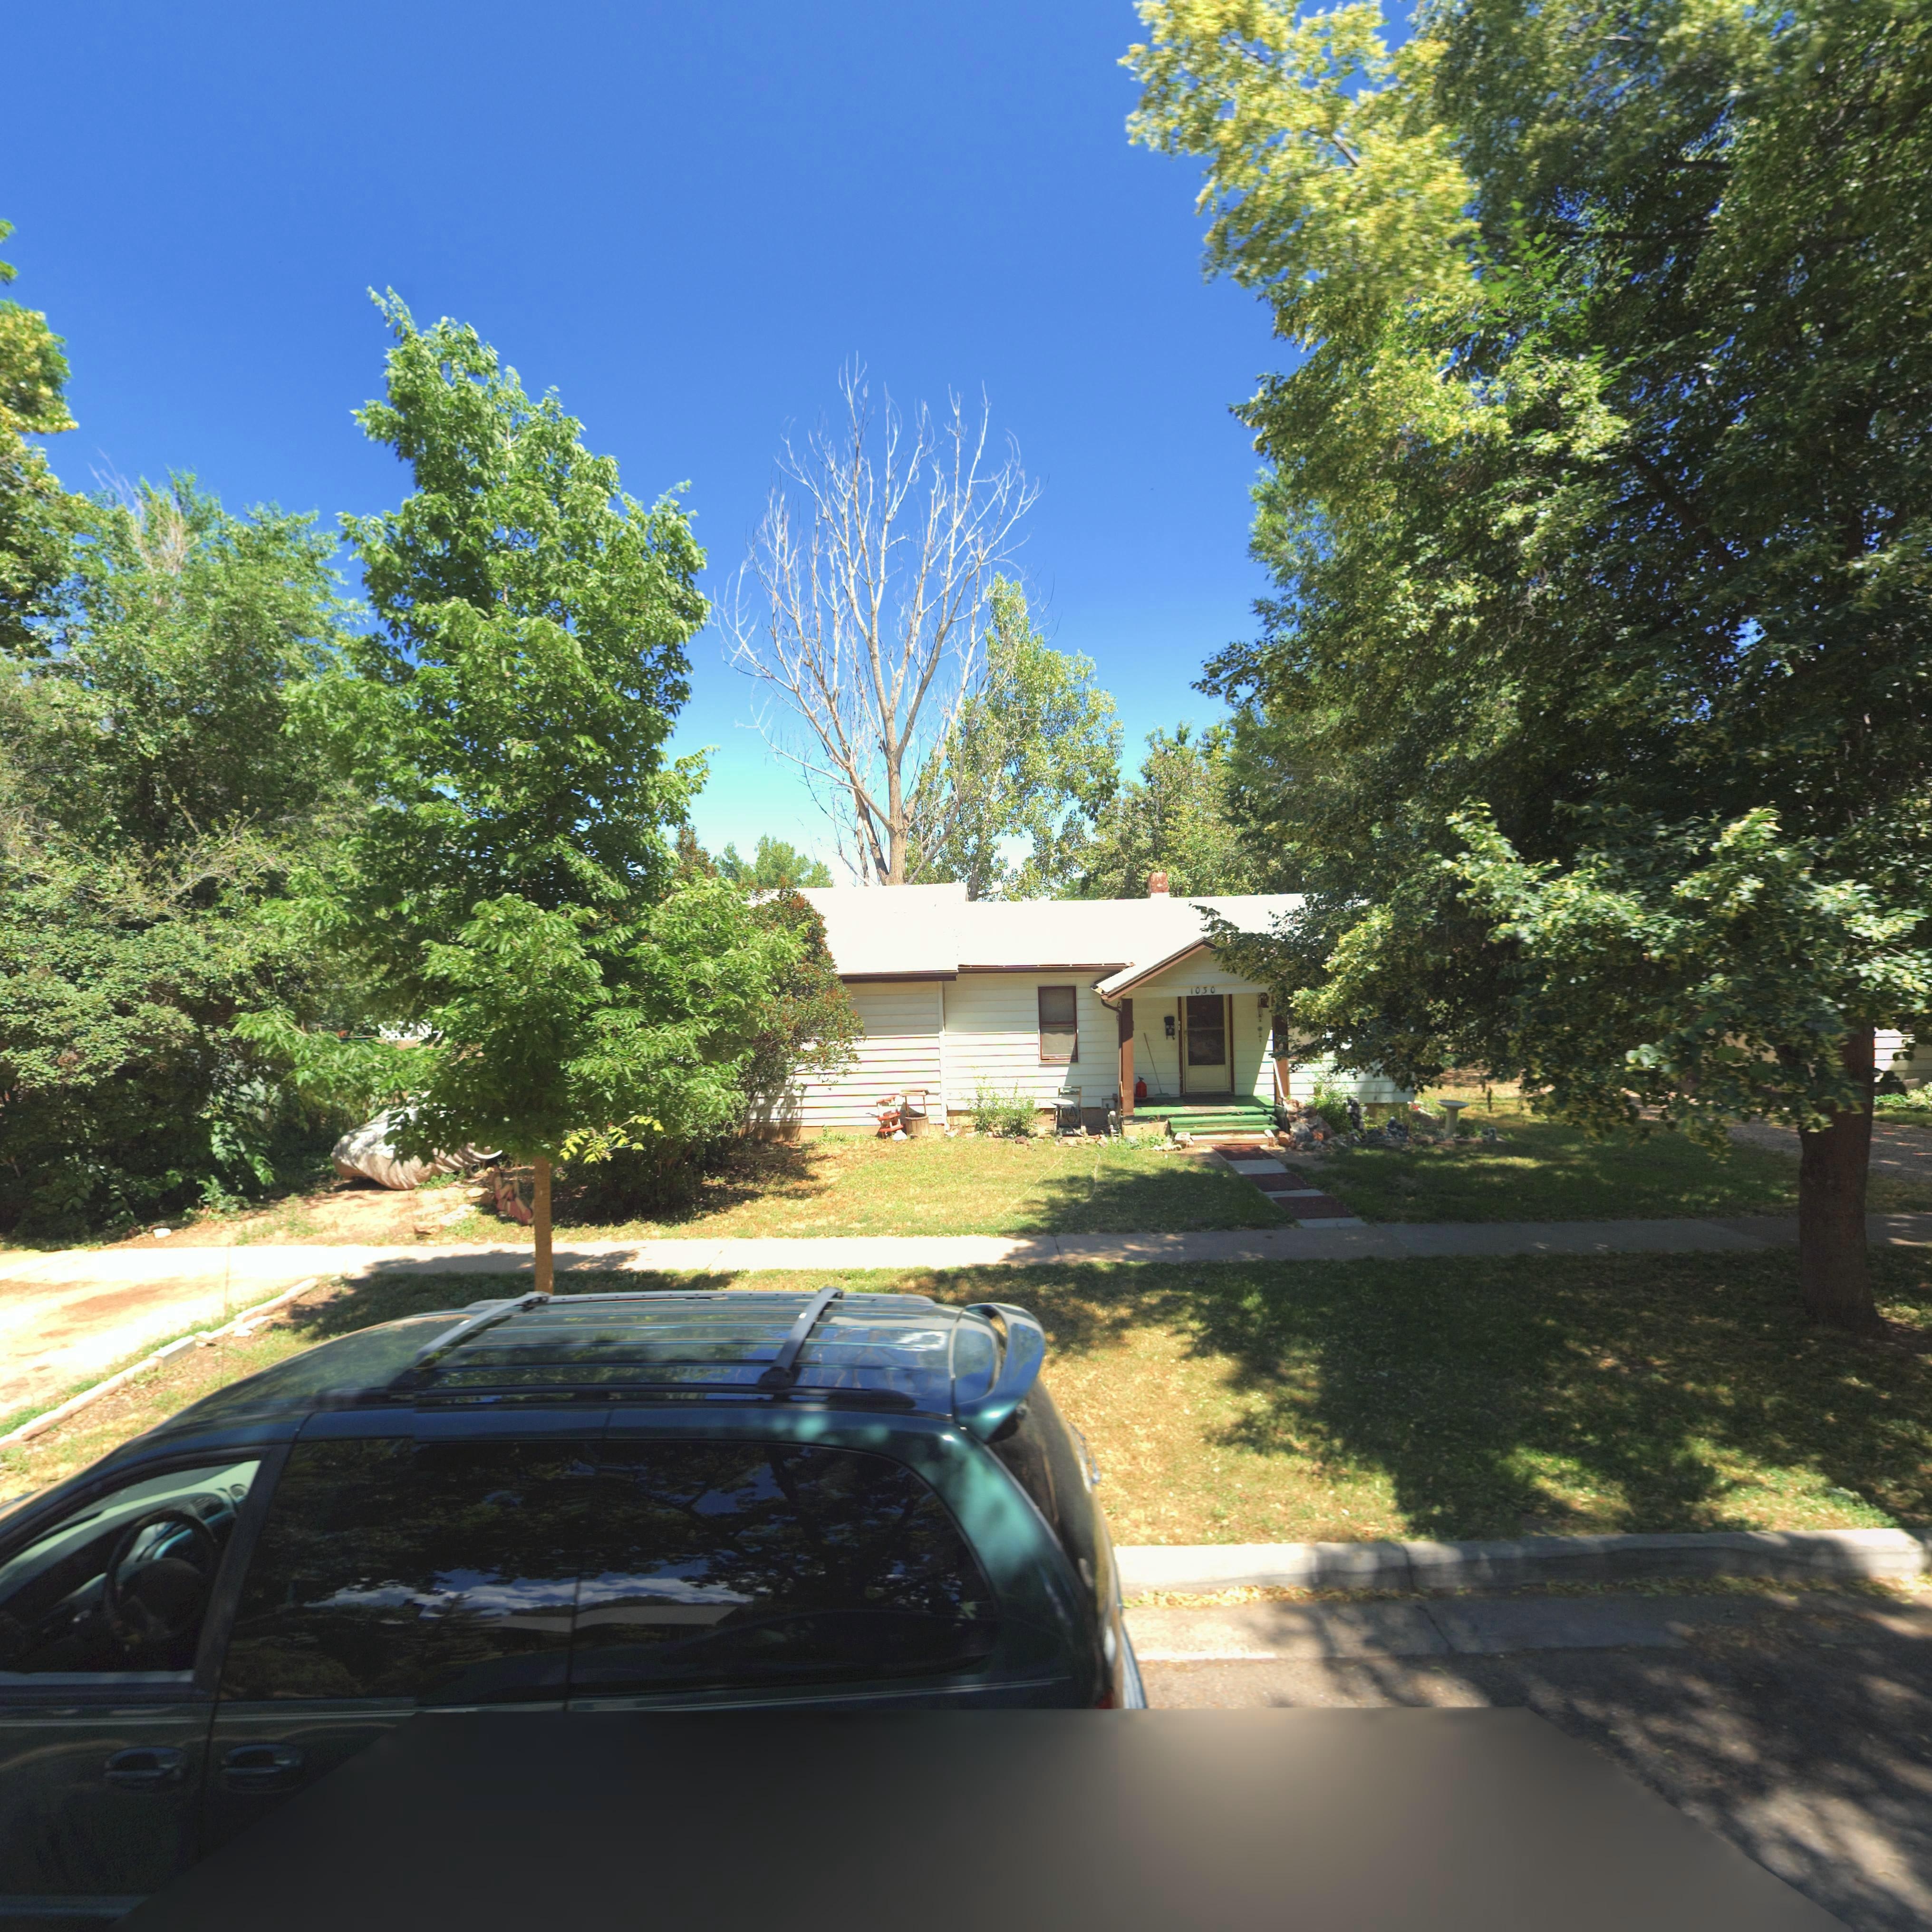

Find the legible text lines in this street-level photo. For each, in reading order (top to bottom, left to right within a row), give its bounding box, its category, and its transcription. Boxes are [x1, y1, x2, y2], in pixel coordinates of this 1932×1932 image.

[1190, 985, 1215, 995] StreetNumber: 1030